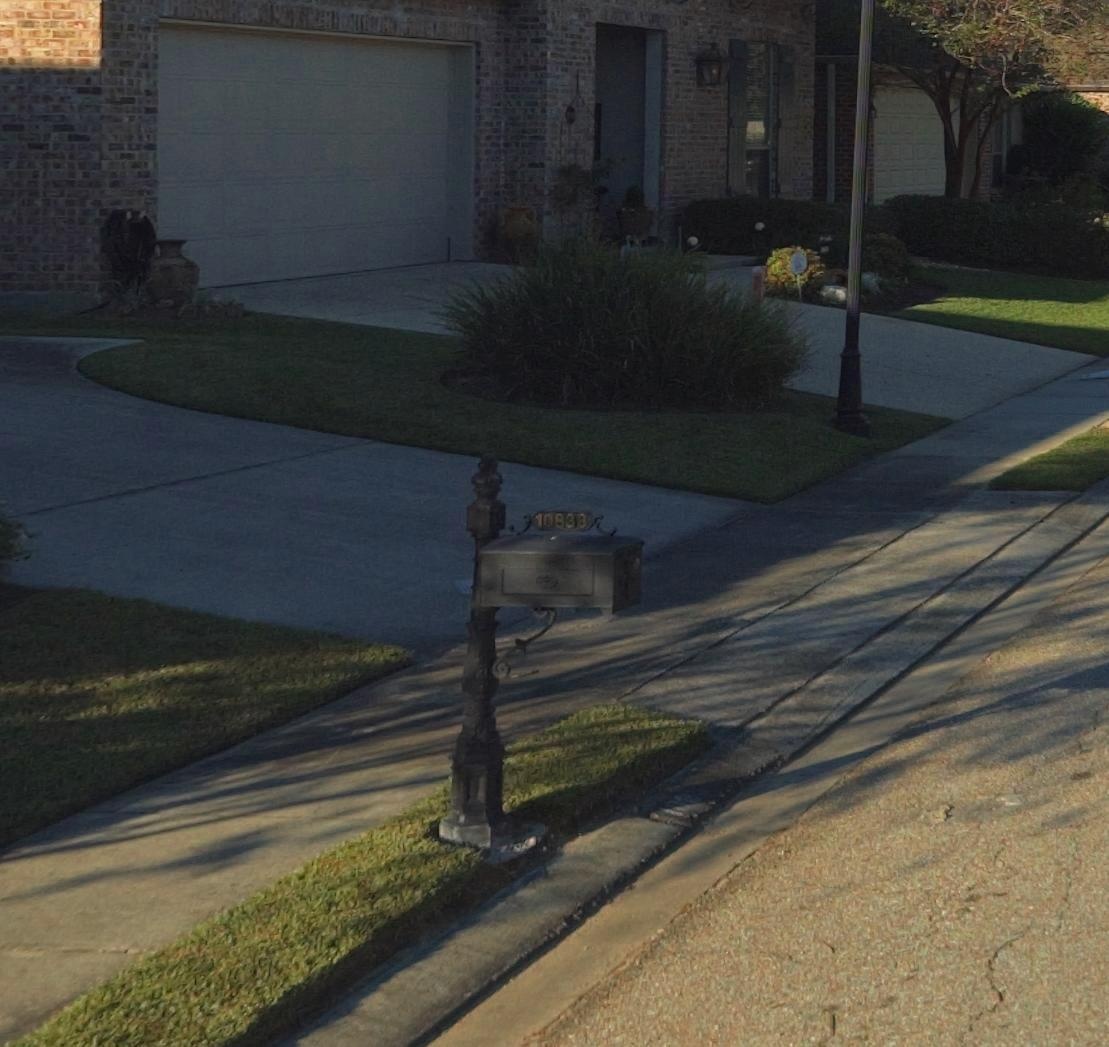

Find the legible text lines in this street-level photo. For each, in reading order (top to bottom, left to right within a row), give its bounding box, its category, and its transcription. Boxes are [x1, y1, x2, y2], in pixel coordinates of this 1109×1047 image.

[532, 511, 589, 530] StreetNumber: 10838